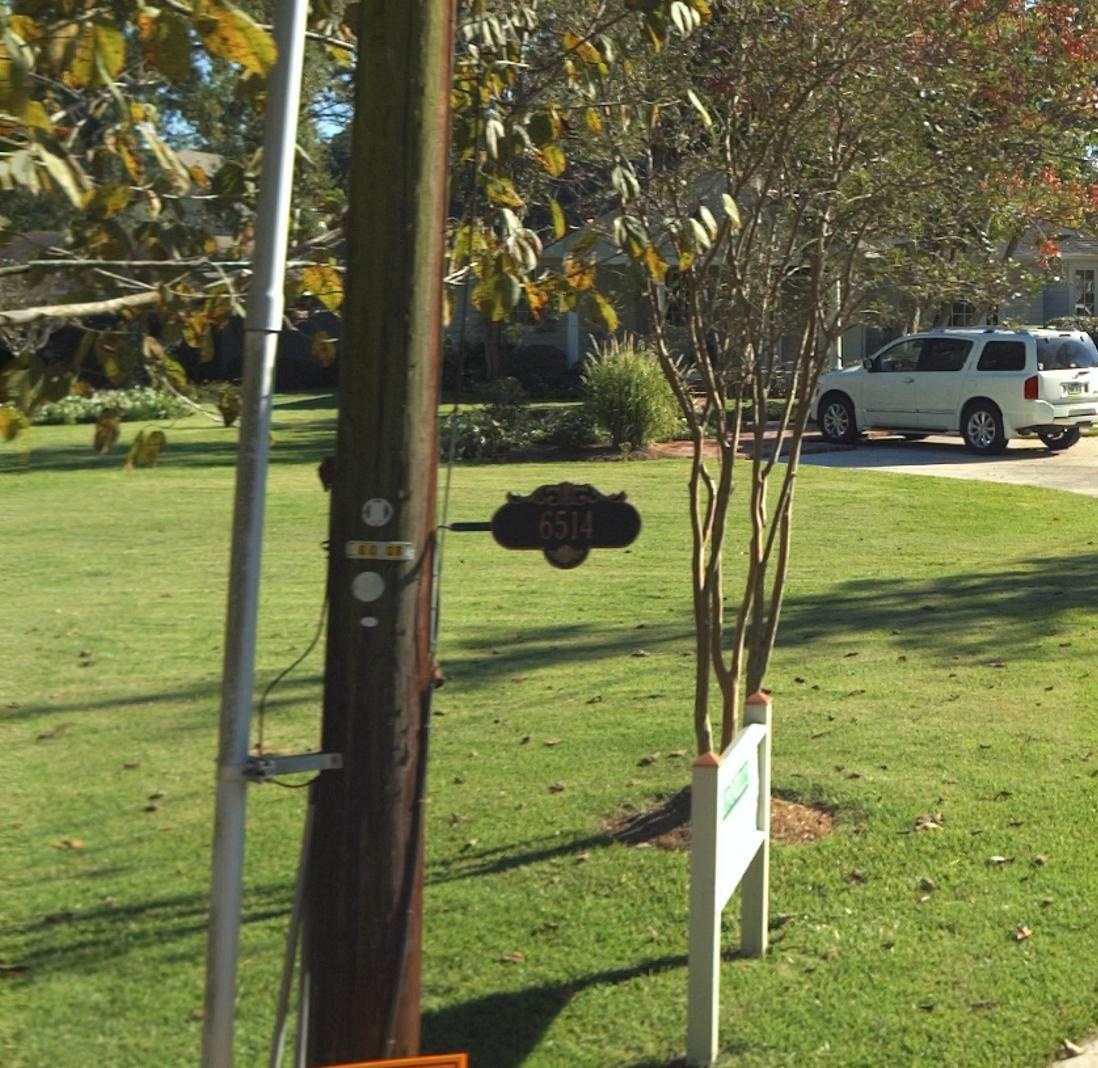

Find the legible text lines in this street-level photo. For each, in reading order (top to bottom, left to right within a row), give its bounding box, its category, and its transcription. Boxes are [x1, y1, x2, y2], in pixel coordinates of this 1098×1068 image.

[536, 508, 596, 542] StreetNumber: 6514
[356, 542, 379, 558] None: 60